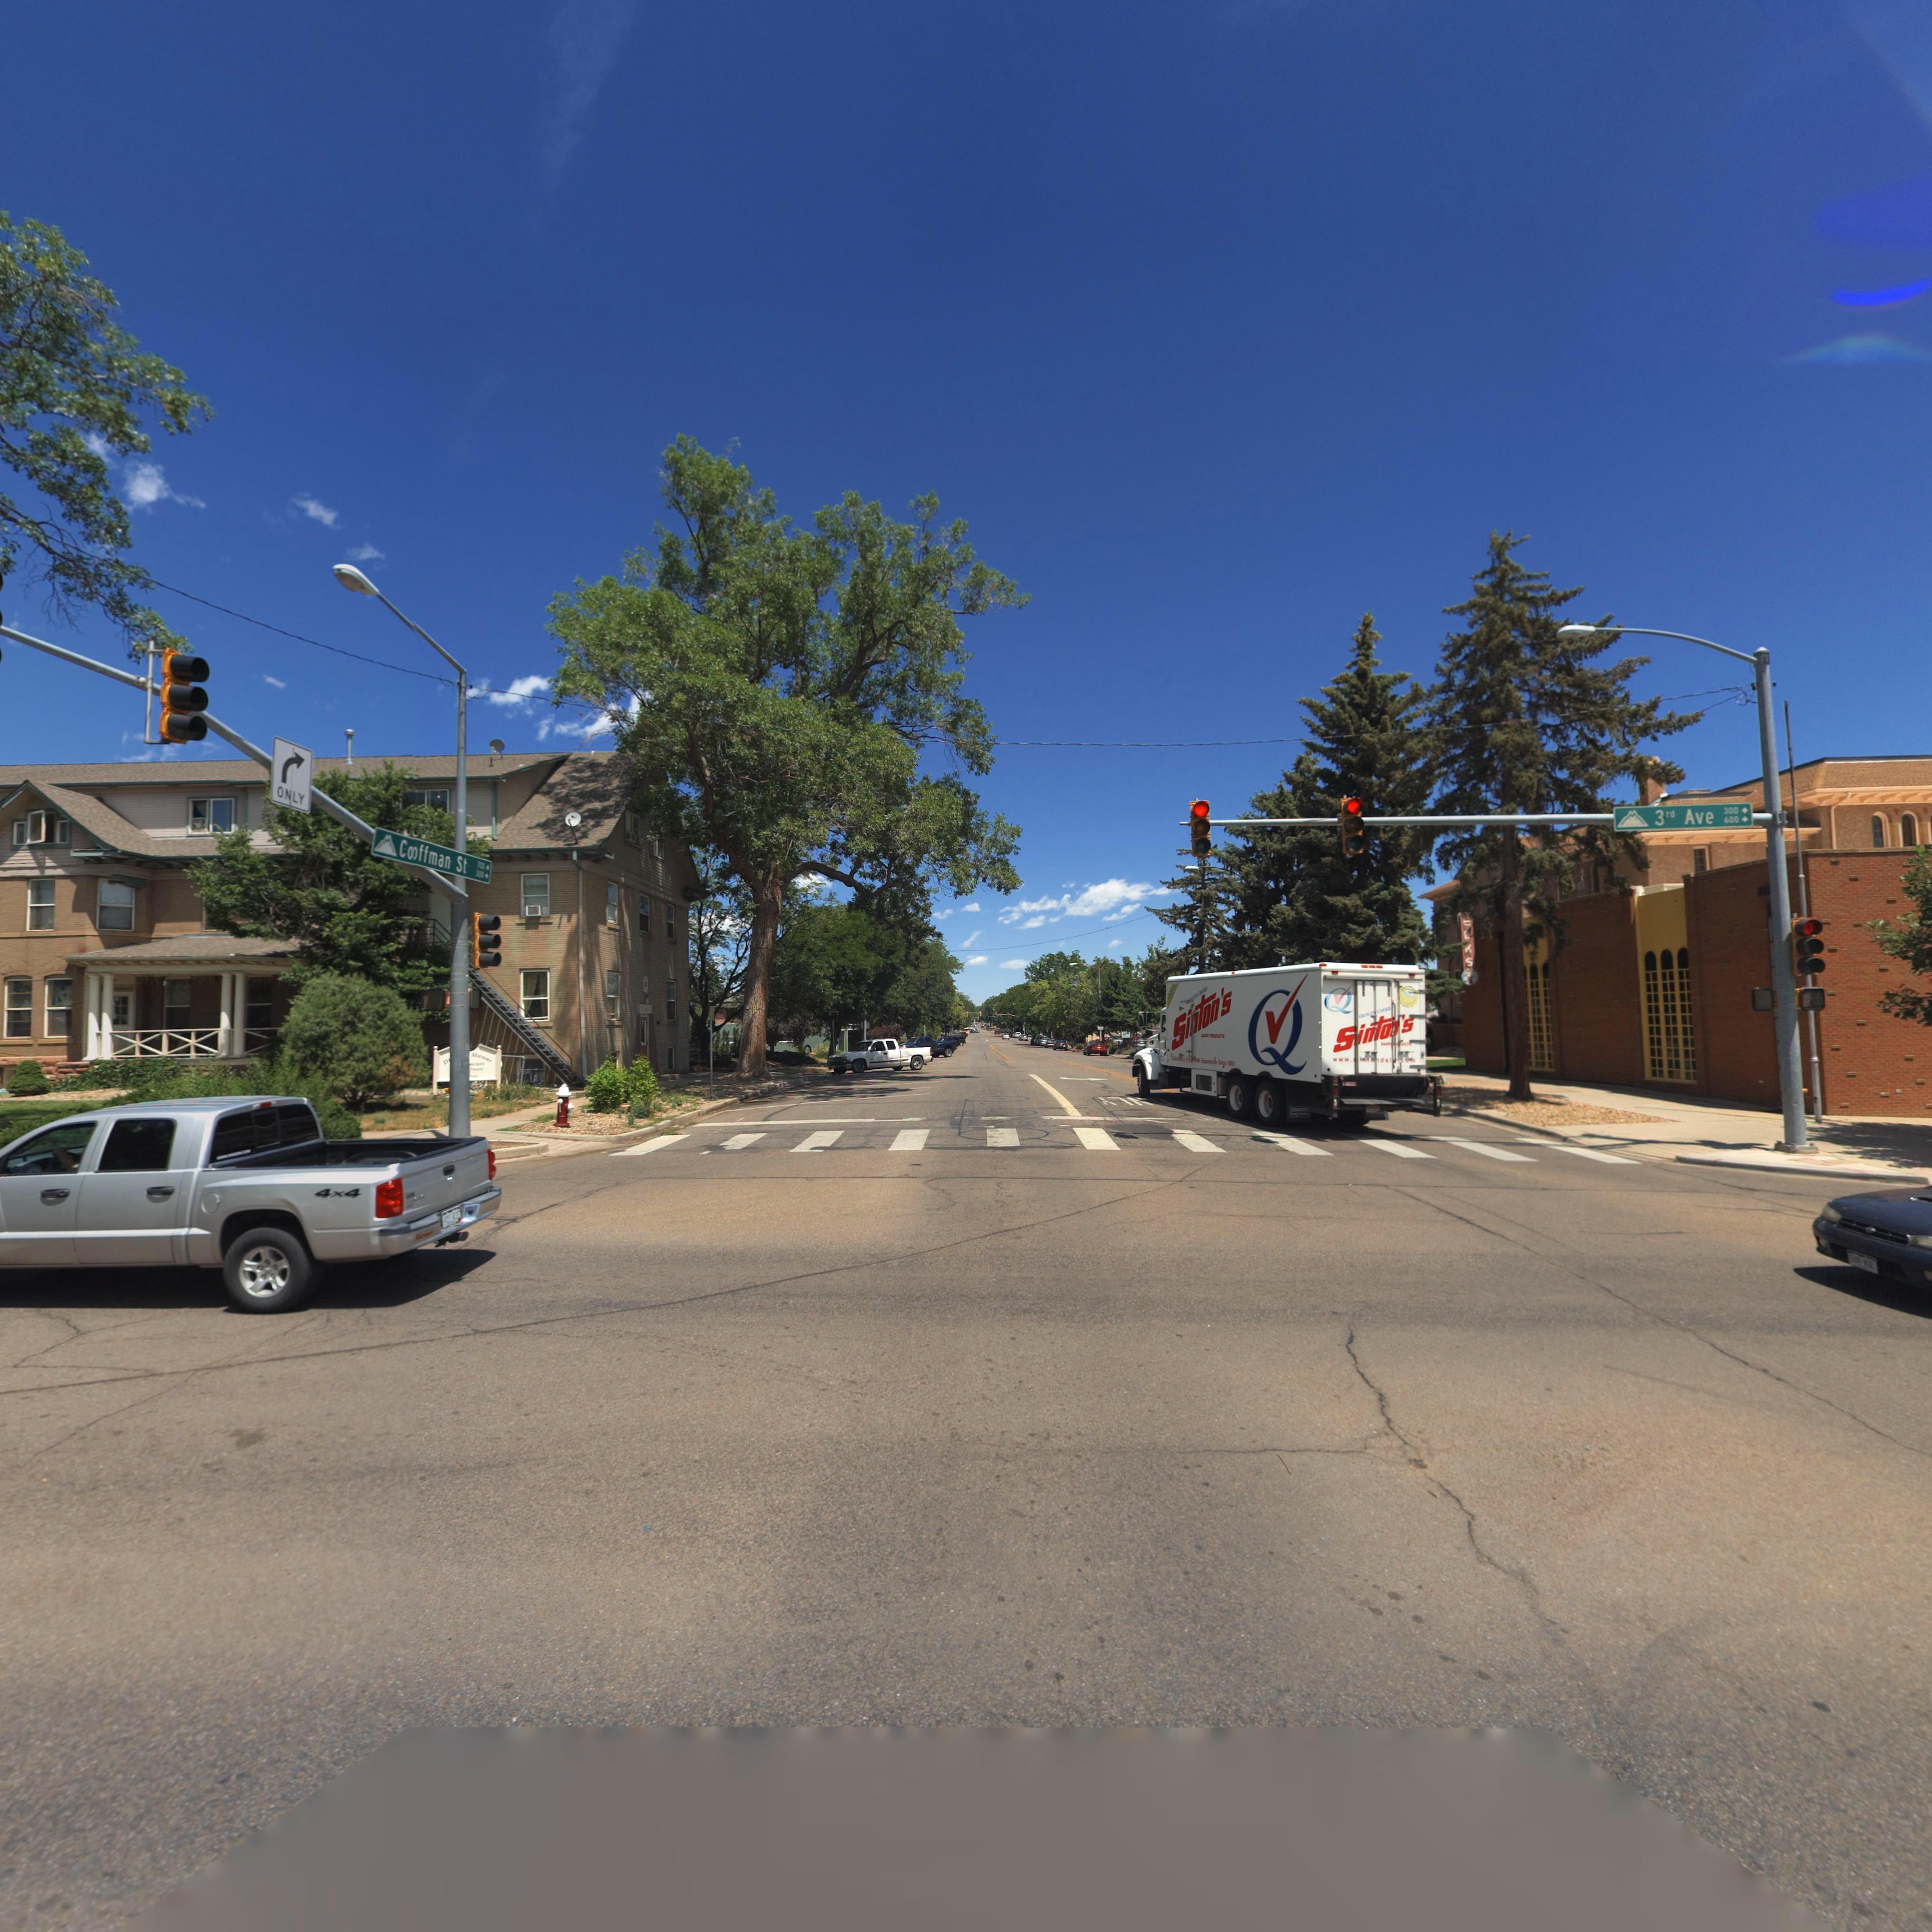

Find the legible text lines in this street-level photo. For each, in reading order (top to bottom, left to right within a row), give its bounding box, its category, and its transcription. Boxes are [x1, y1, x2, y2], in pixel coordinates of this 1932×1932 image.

[1723, 806, 1739, 814] StreetNumberRange: 300
[1653, 808, 1714, 826] StreetName: 3rd Ave
[1724, 815, 1749, 823] StreetNumberRange: 600->
[398, 837, 468, 874] StreetName: Co*ffman St
[476, 860, 485, 870] StreetNumberRange: 700
[475, 869, 489, 879] StreetNumberRange: 300->
[1461, 919, 1474, 967] BusinessName: *LKS